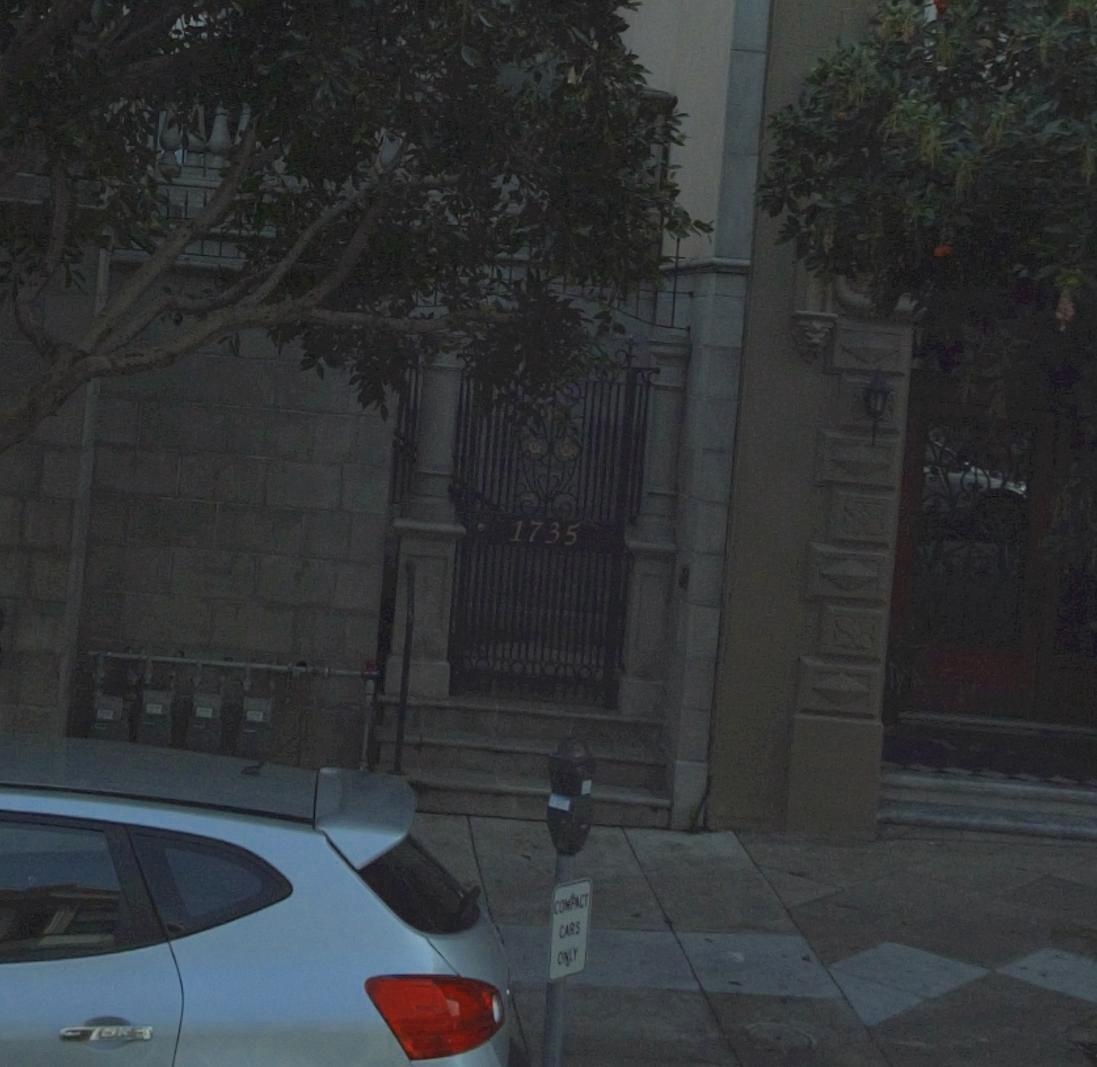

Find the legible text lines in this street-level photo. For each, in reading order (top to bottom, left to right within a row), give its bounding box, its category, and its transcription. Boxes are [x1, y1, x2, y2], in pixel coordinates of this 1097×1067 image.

[506, 518, 583, 549] StreetNumber: 1735
[552, 889, 591, 920] None: CO***CT
[556, 917, 583, 942] None: CARS
[554, 942, 581, 969] None: O**Y